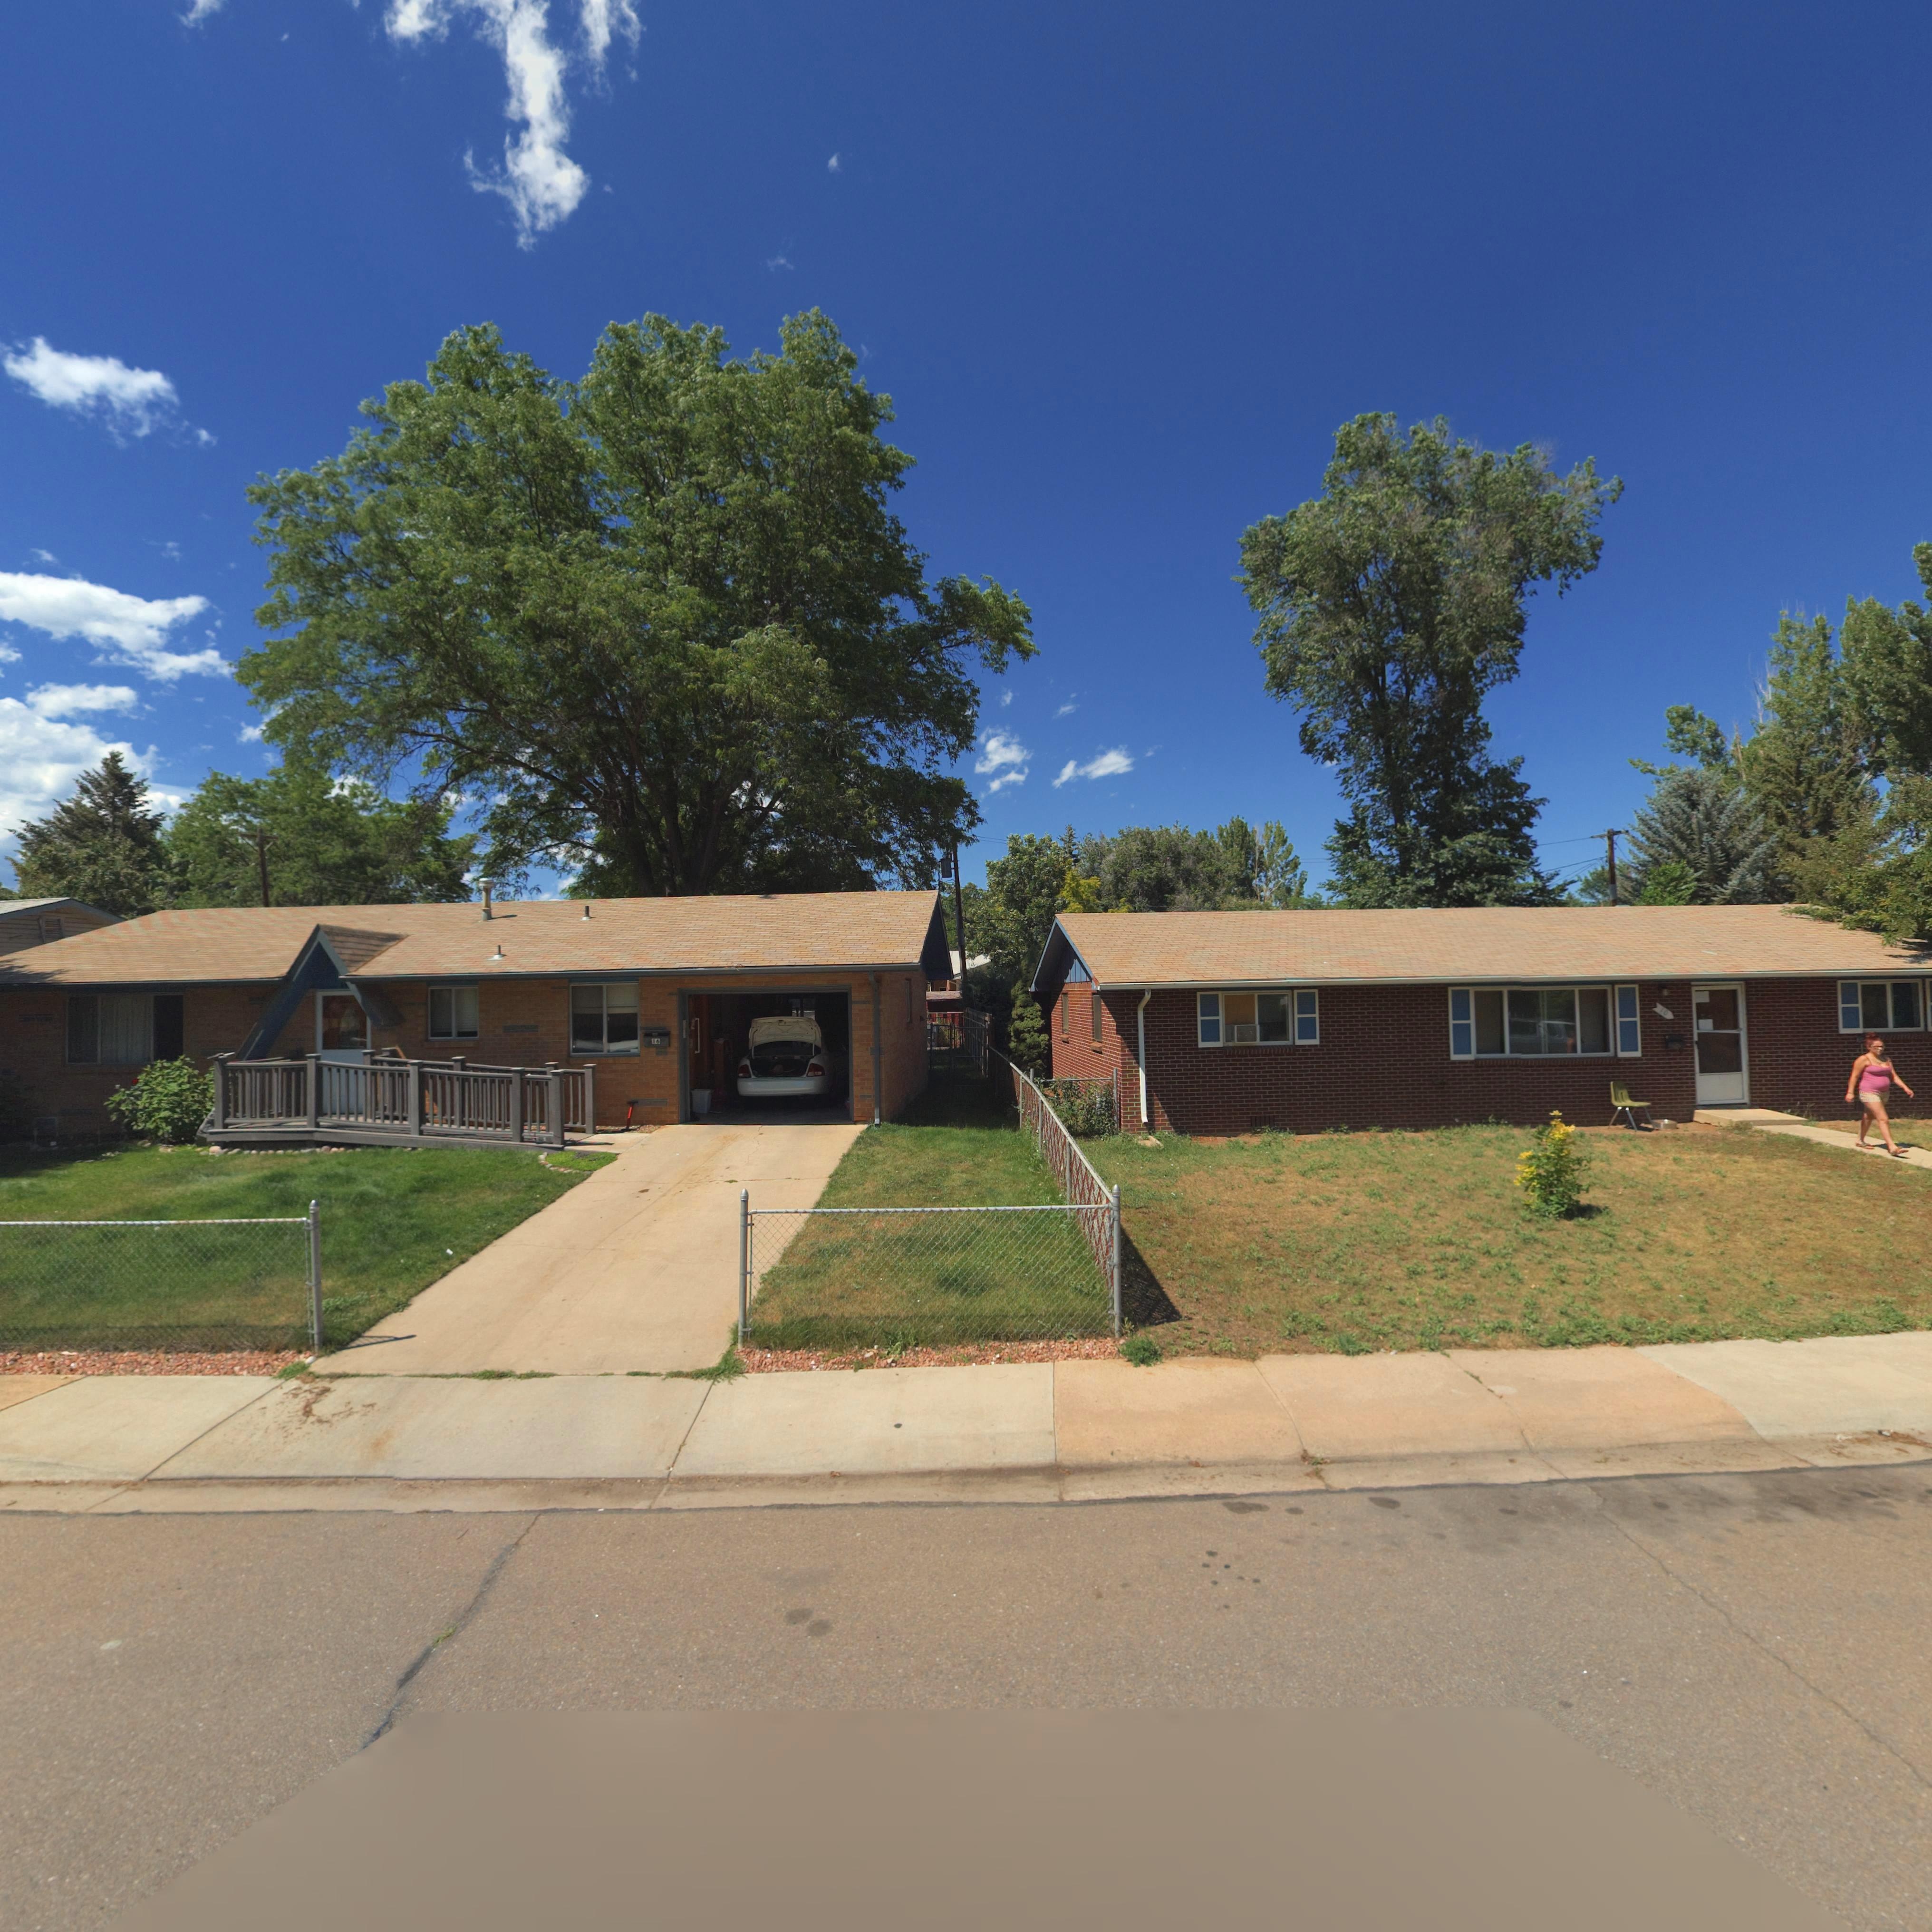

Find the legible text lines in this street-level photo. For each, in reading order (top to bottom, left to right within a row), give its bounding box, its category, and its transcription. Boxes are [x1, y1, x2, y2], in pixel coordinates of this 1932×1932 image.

[1659, 1006, 1669, 1016] StreetNumber: 10
[653, 1038, 660, 1044] StreetNumber: 16